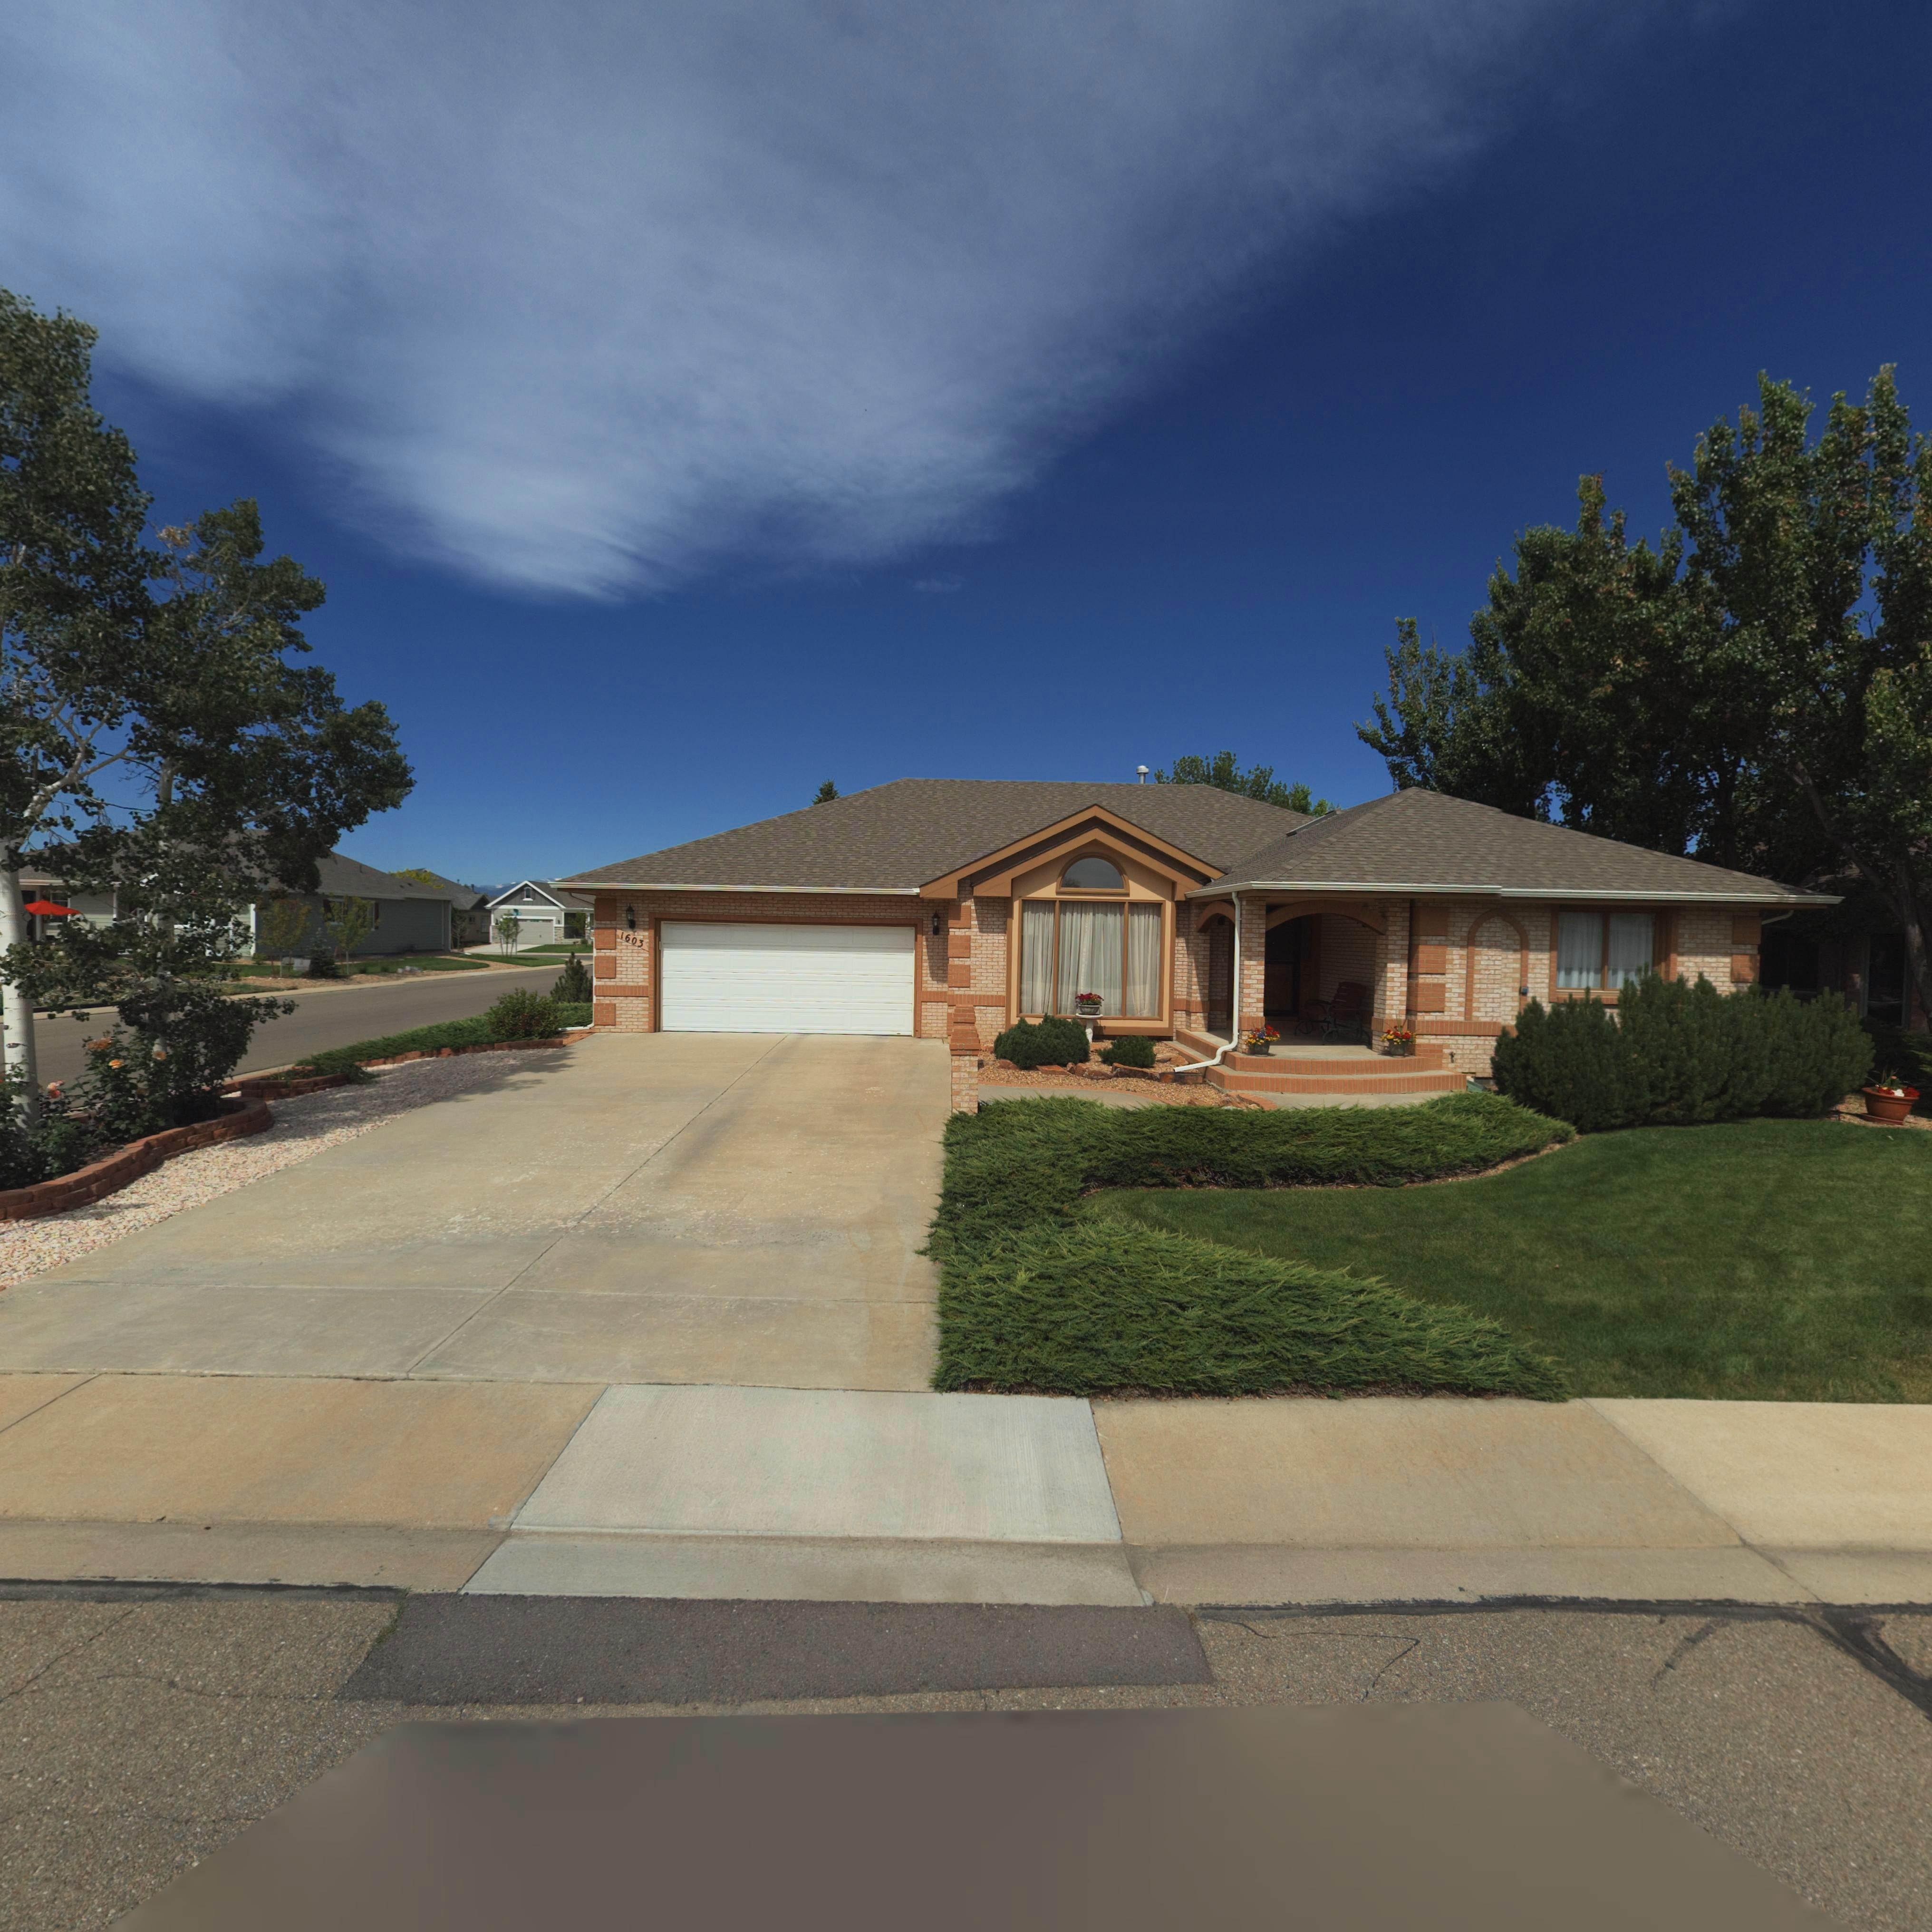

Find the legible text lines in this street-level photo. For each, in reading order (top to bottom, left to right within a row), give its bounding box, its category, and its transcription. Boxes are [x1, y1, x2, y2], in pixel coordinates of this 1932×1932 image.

[620, 931, 644, 948] StreetNumber: 1603